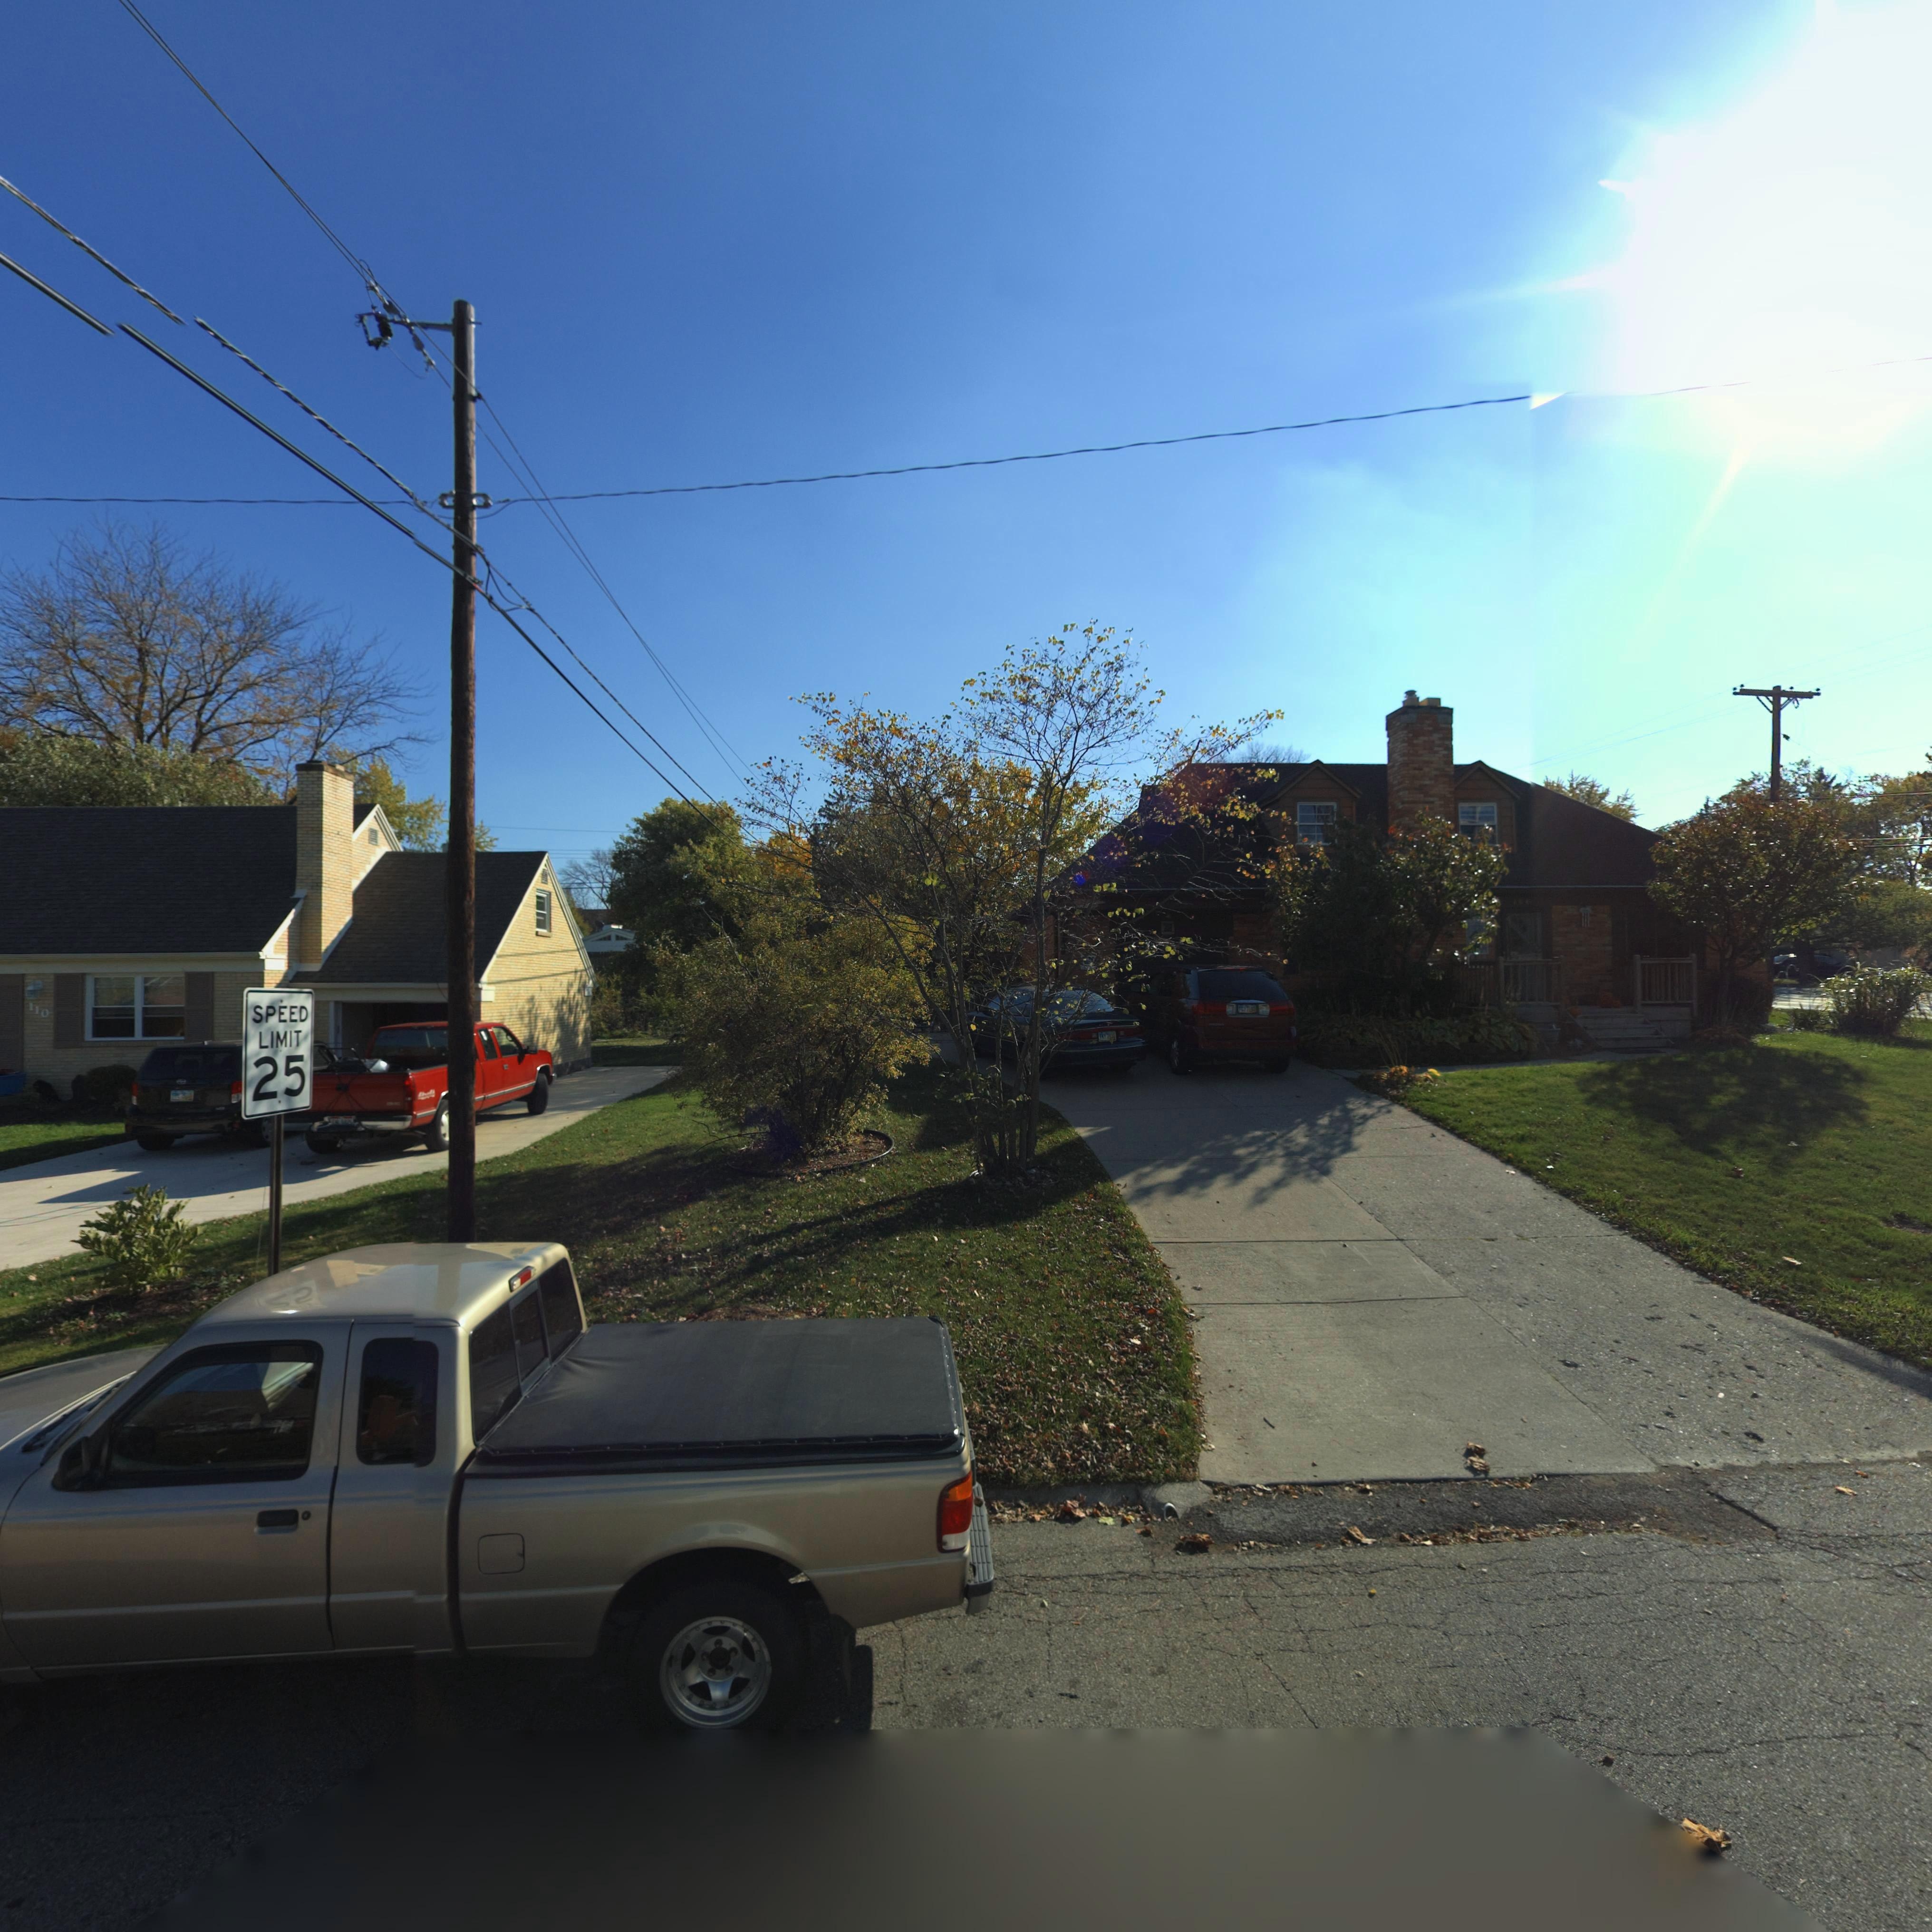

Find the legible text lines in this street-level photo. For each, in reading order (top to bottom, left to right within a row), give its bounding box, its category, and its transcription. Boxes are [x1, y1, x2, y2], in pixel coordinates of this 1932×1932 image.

[28, 1001, 50, 1019] StreetNumber: 110